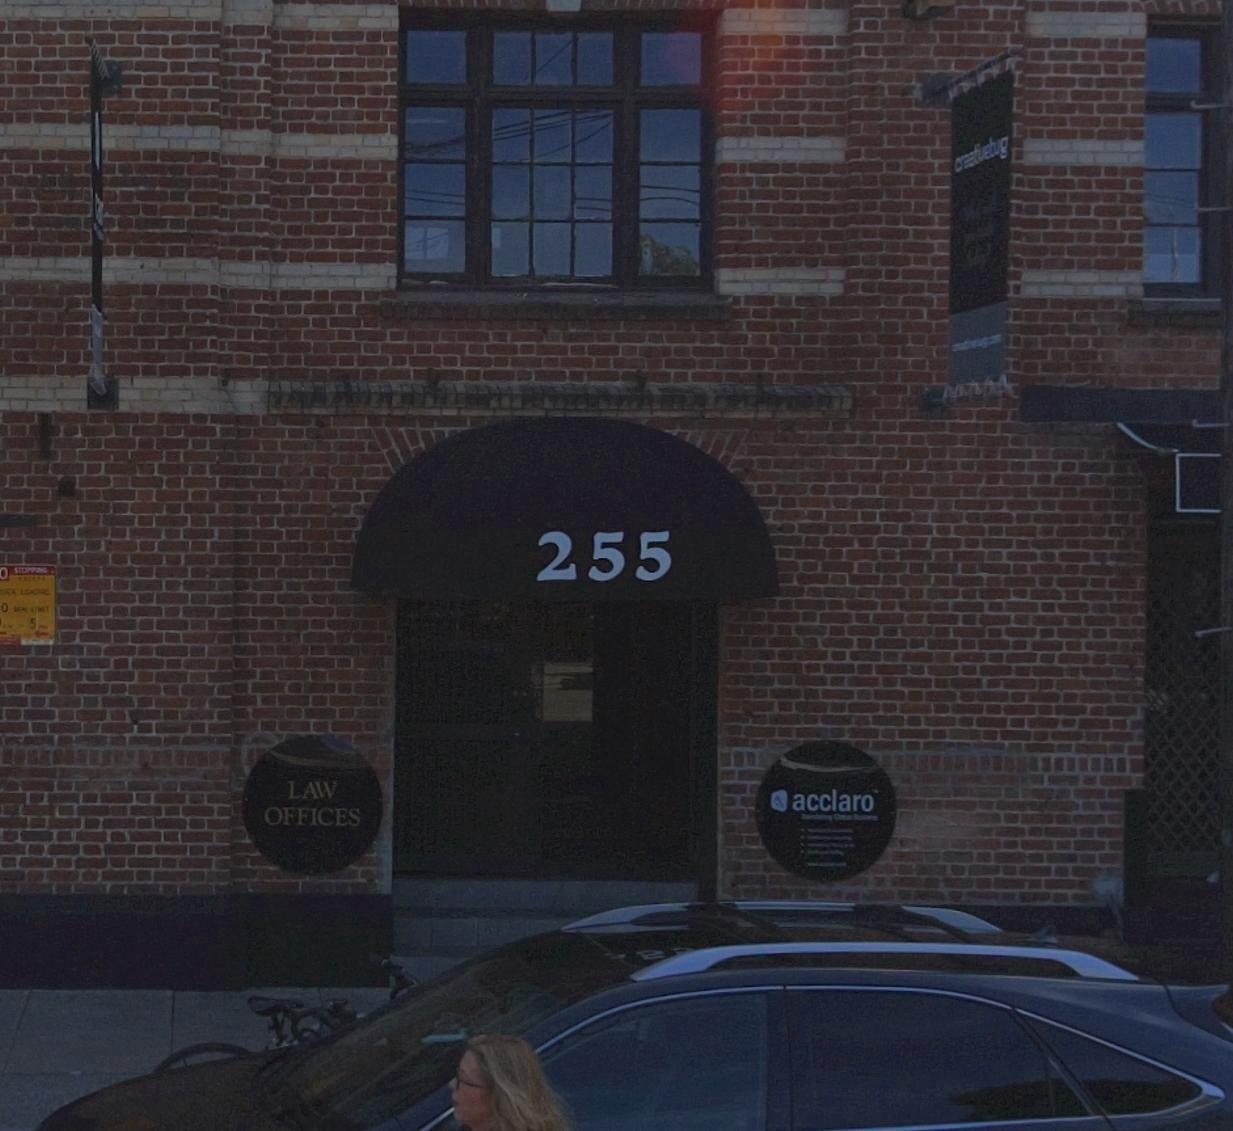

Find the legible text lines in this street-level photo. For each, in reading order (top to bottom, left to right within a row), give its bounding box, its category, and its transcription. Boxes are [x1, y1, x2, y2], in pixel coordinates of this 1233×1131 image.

[533, 528, 674, 584] StreetNumber: 255
[285, 779, 339, 801] None: LAW
[790, 786, 876, 814] None: acclaro
[261, 804, 363, 829] None: OFFICES